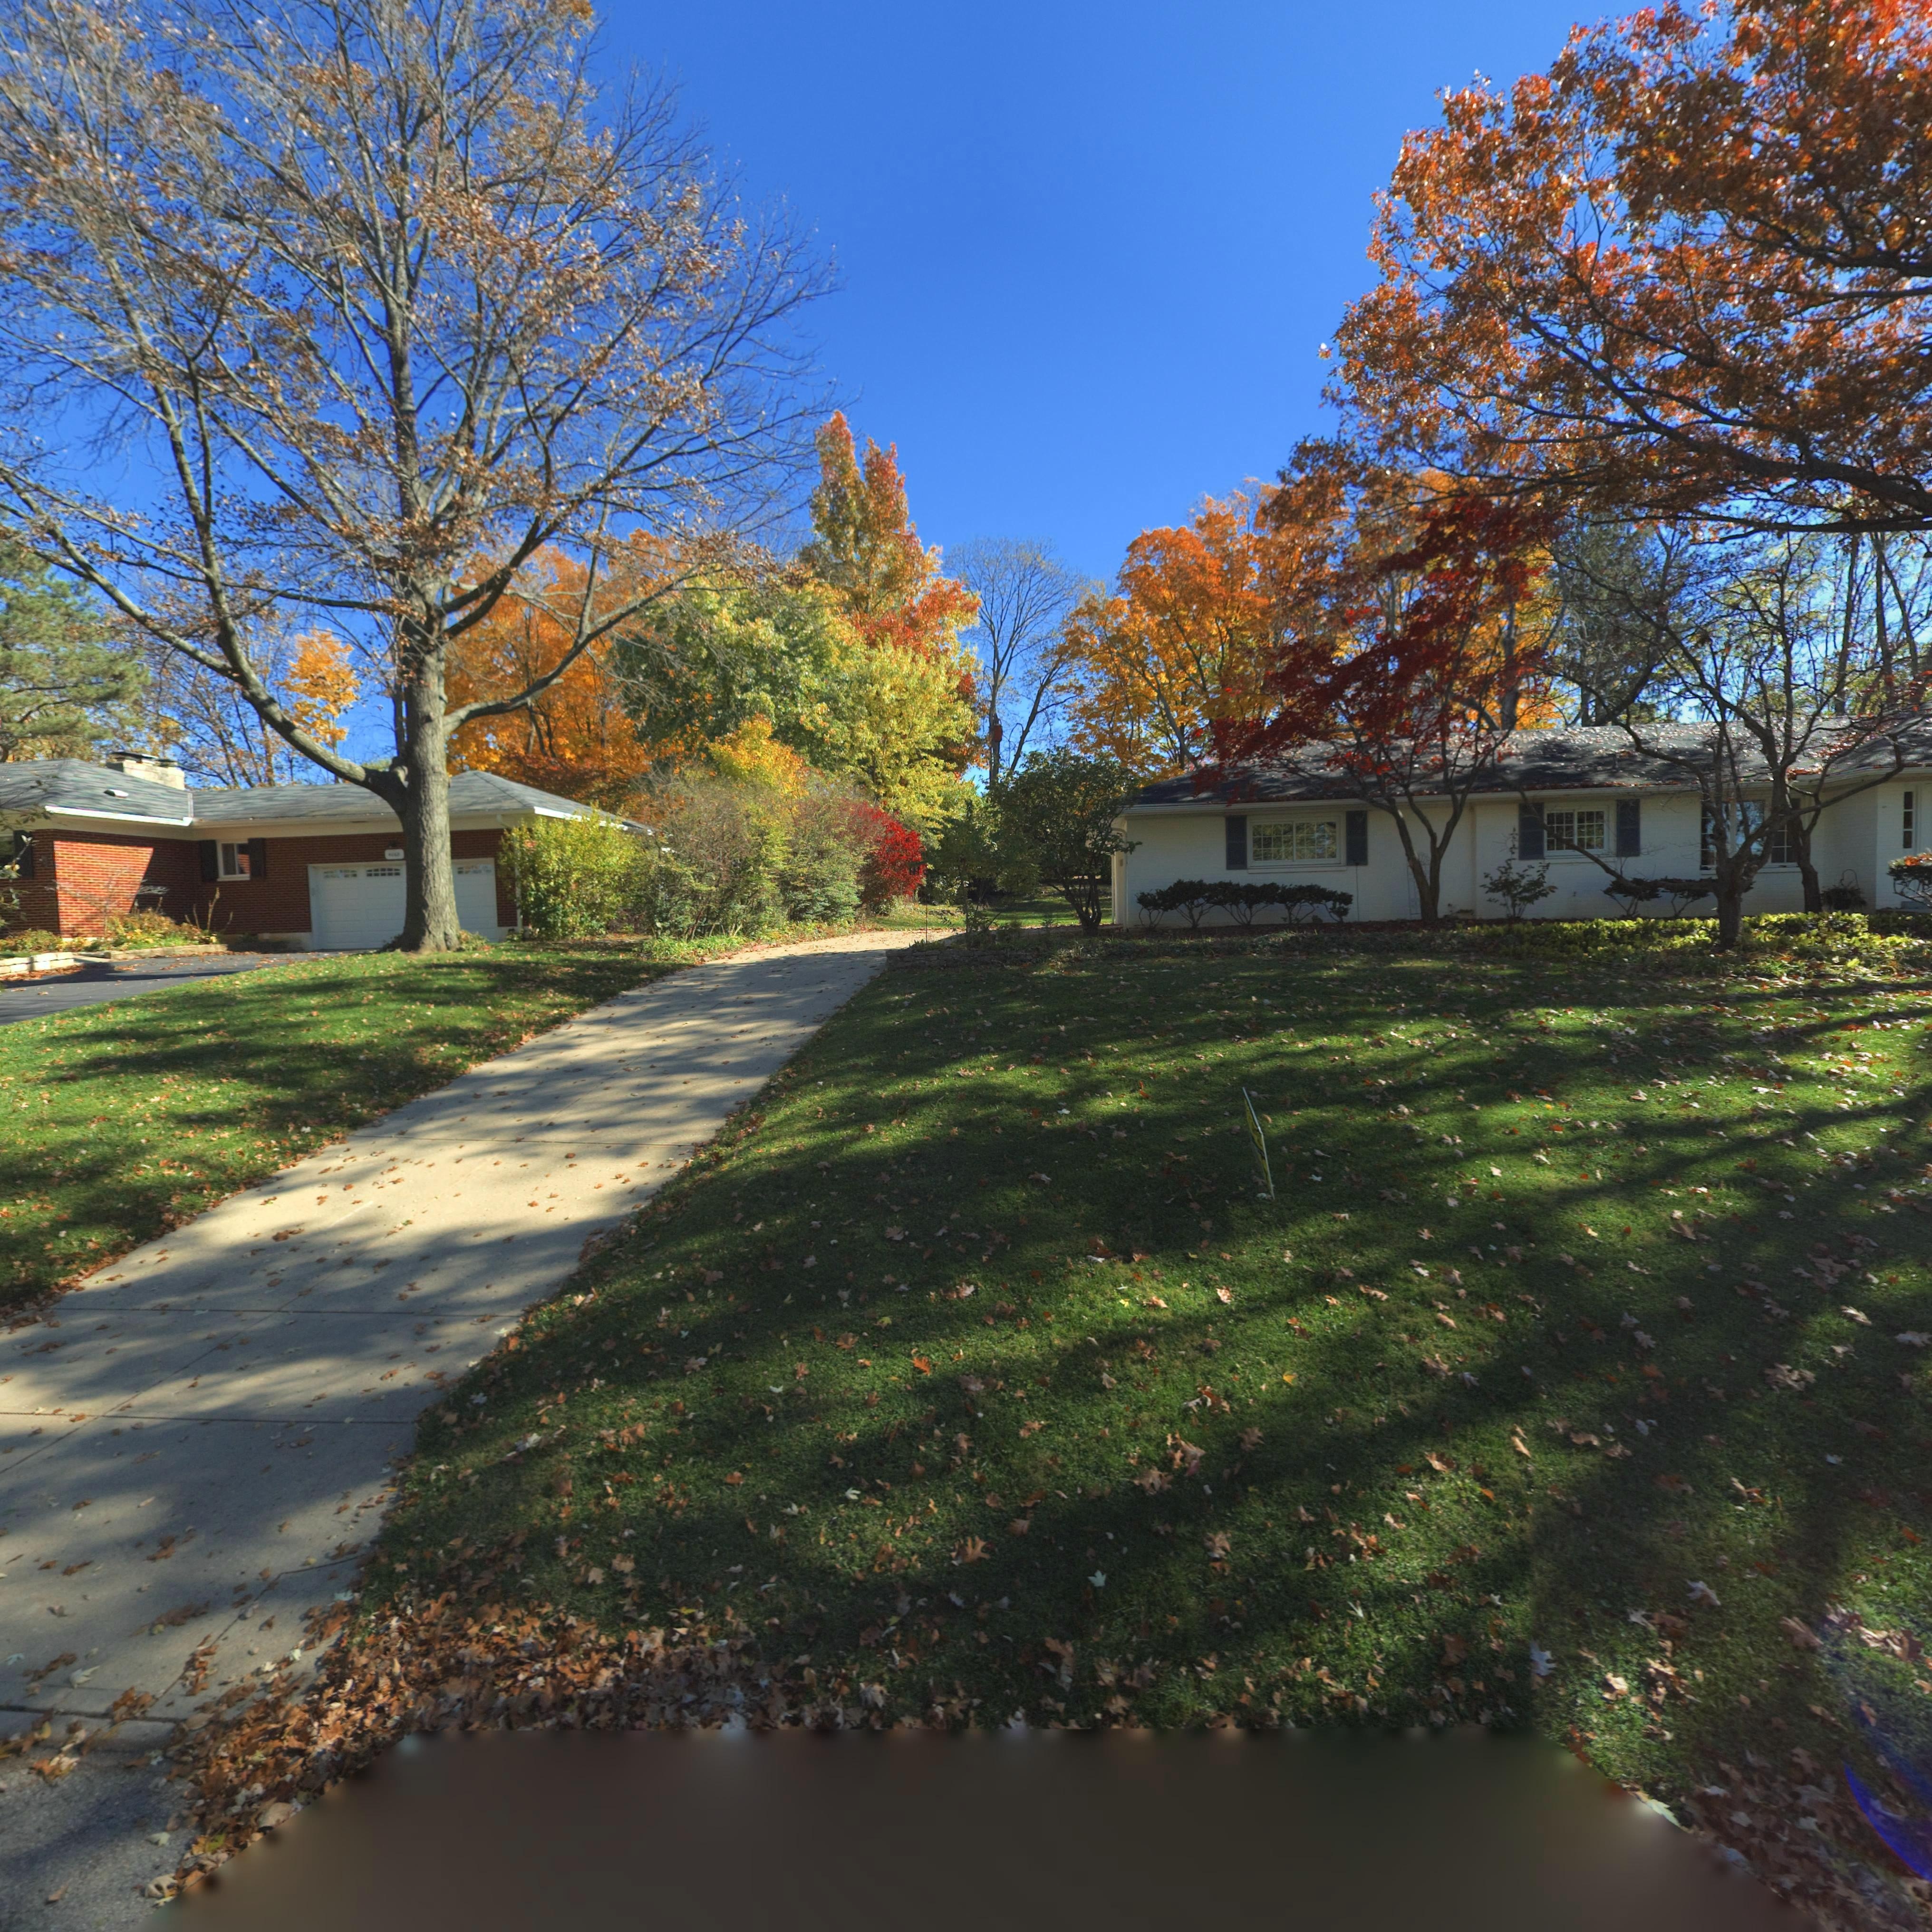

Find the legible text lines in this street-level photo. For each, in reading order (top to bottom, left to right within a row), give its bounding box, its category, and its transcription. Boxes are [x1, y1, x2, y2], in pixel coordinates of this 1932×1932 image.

[387, 852, 400, 857] StreetNumber: **68